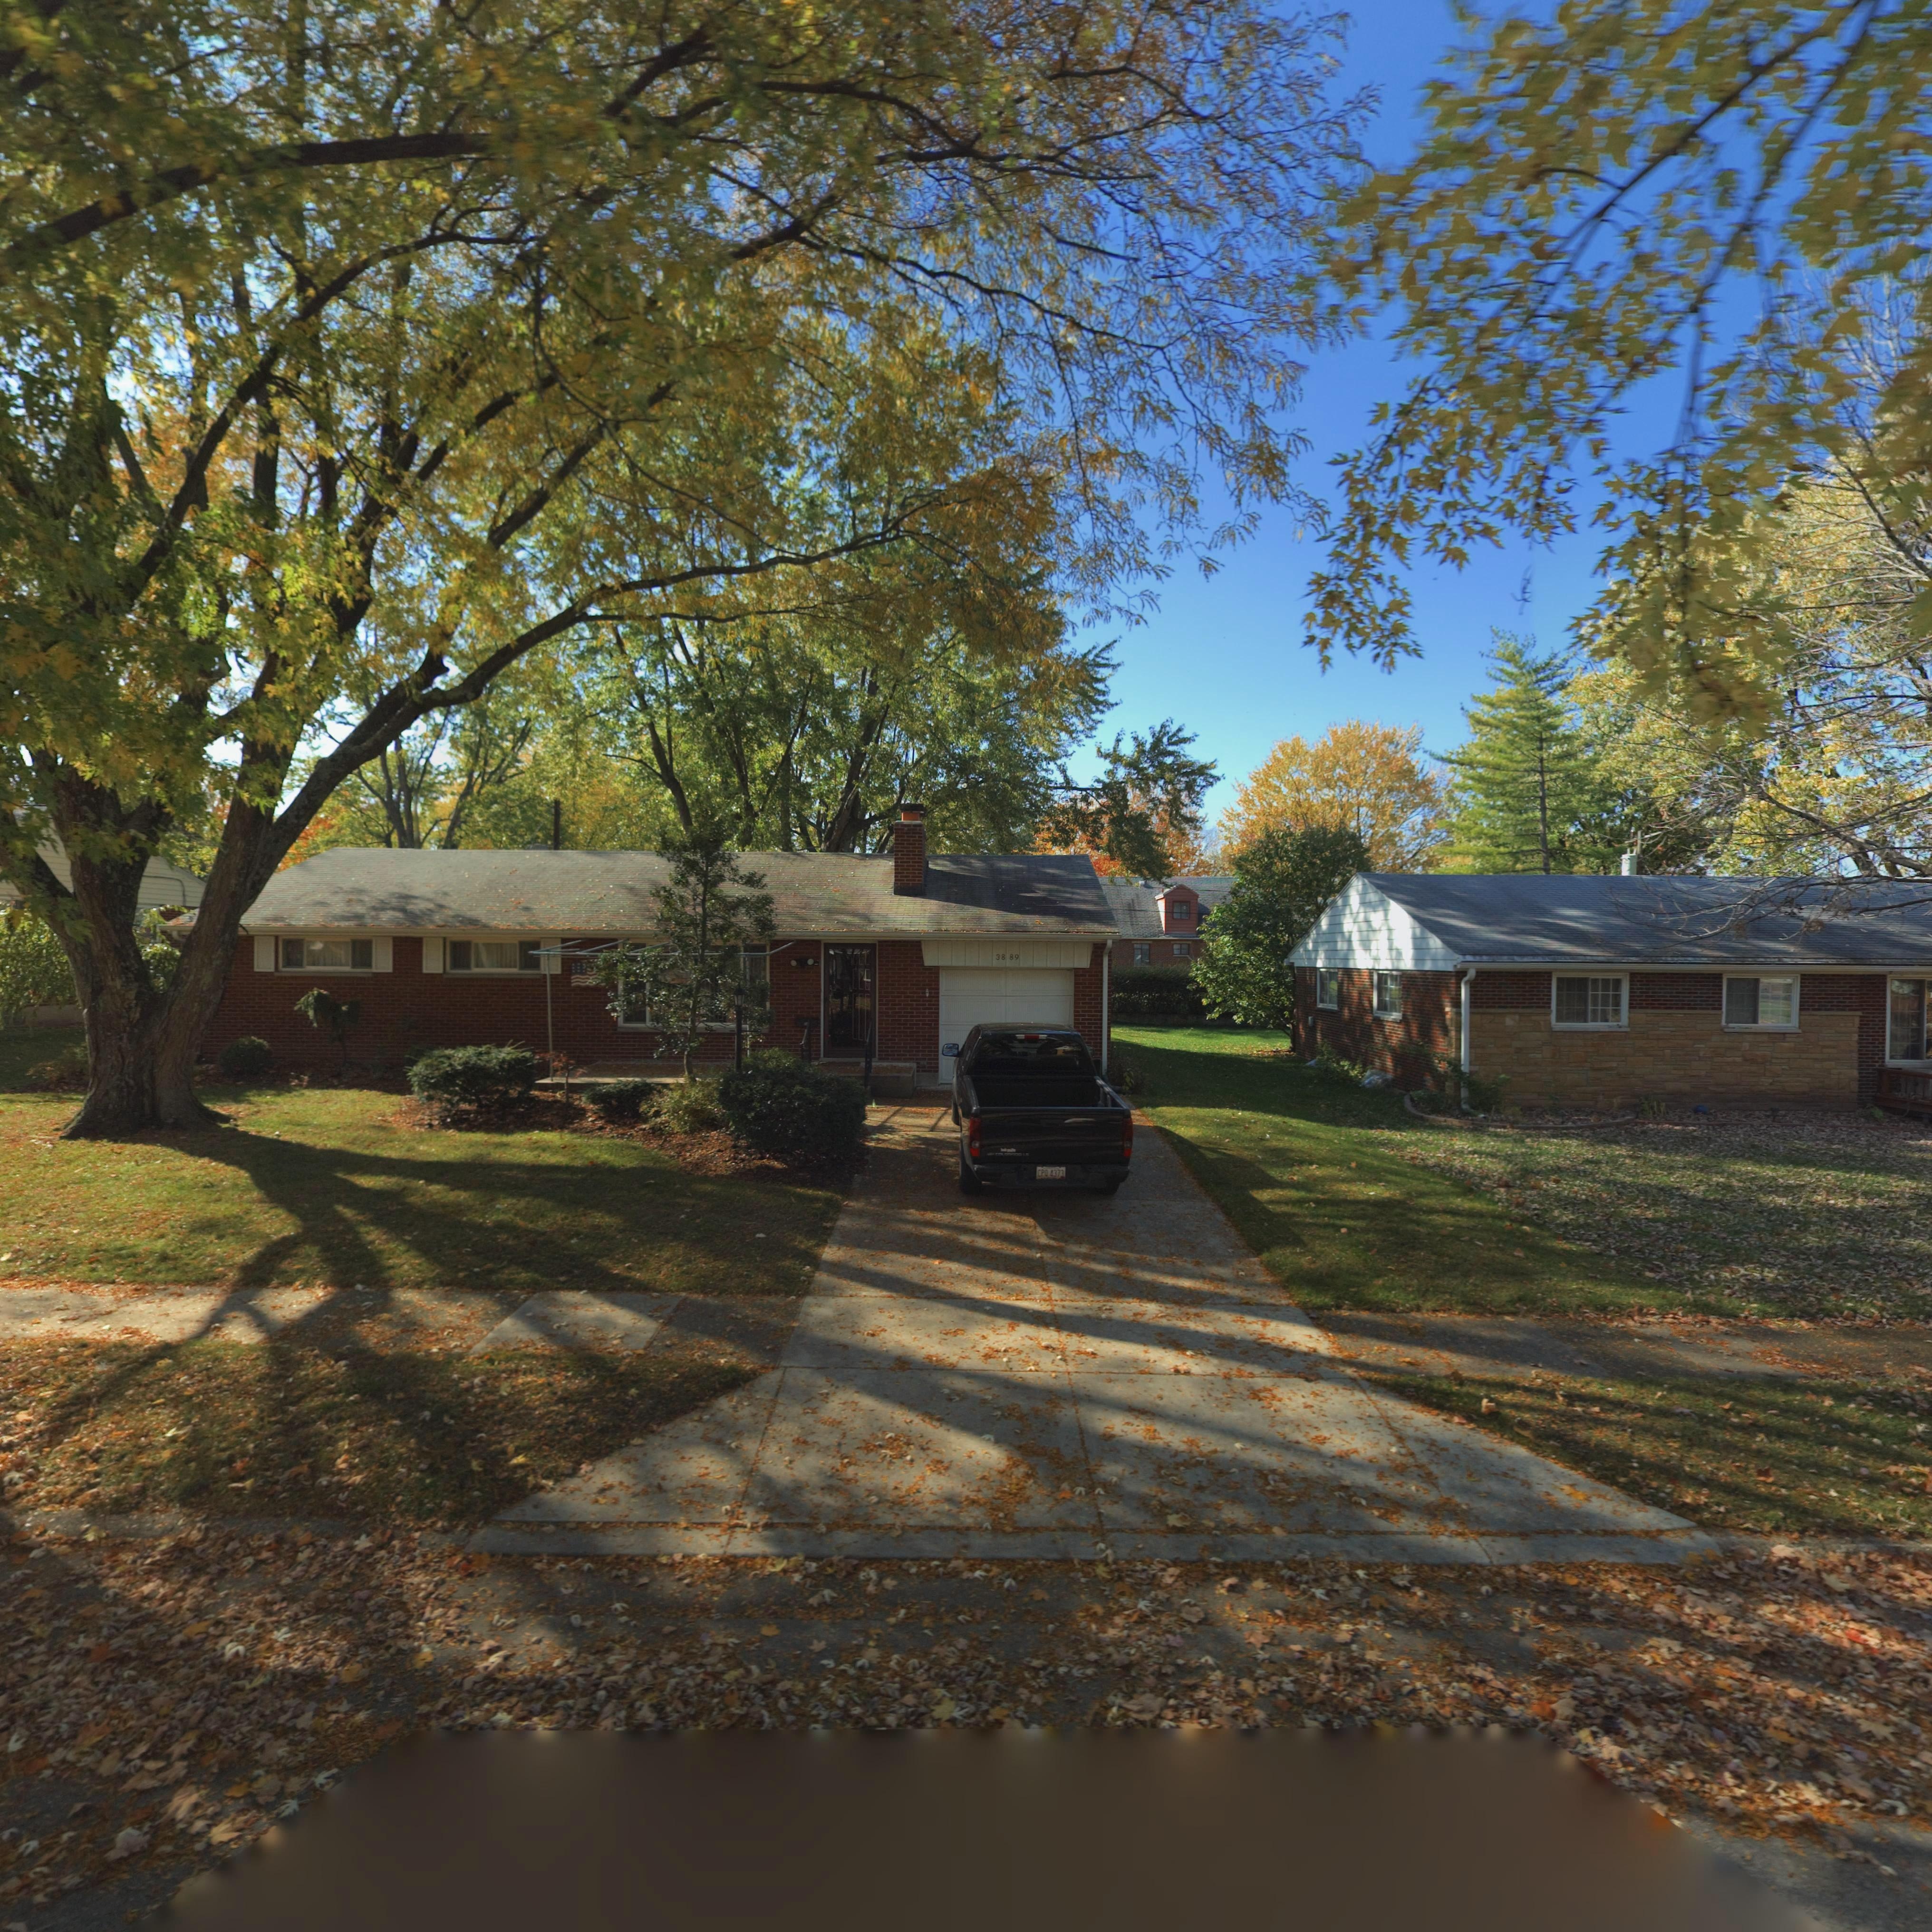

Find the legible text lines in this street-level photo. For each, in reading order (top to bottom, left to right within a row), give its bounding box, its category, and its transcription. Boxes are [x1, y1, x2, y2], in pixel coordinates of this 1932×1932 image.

[995, 953, 1020, 961] StreetNumber: 38 89
[1036, 1168, 1065, 1178] None: CP* 4373